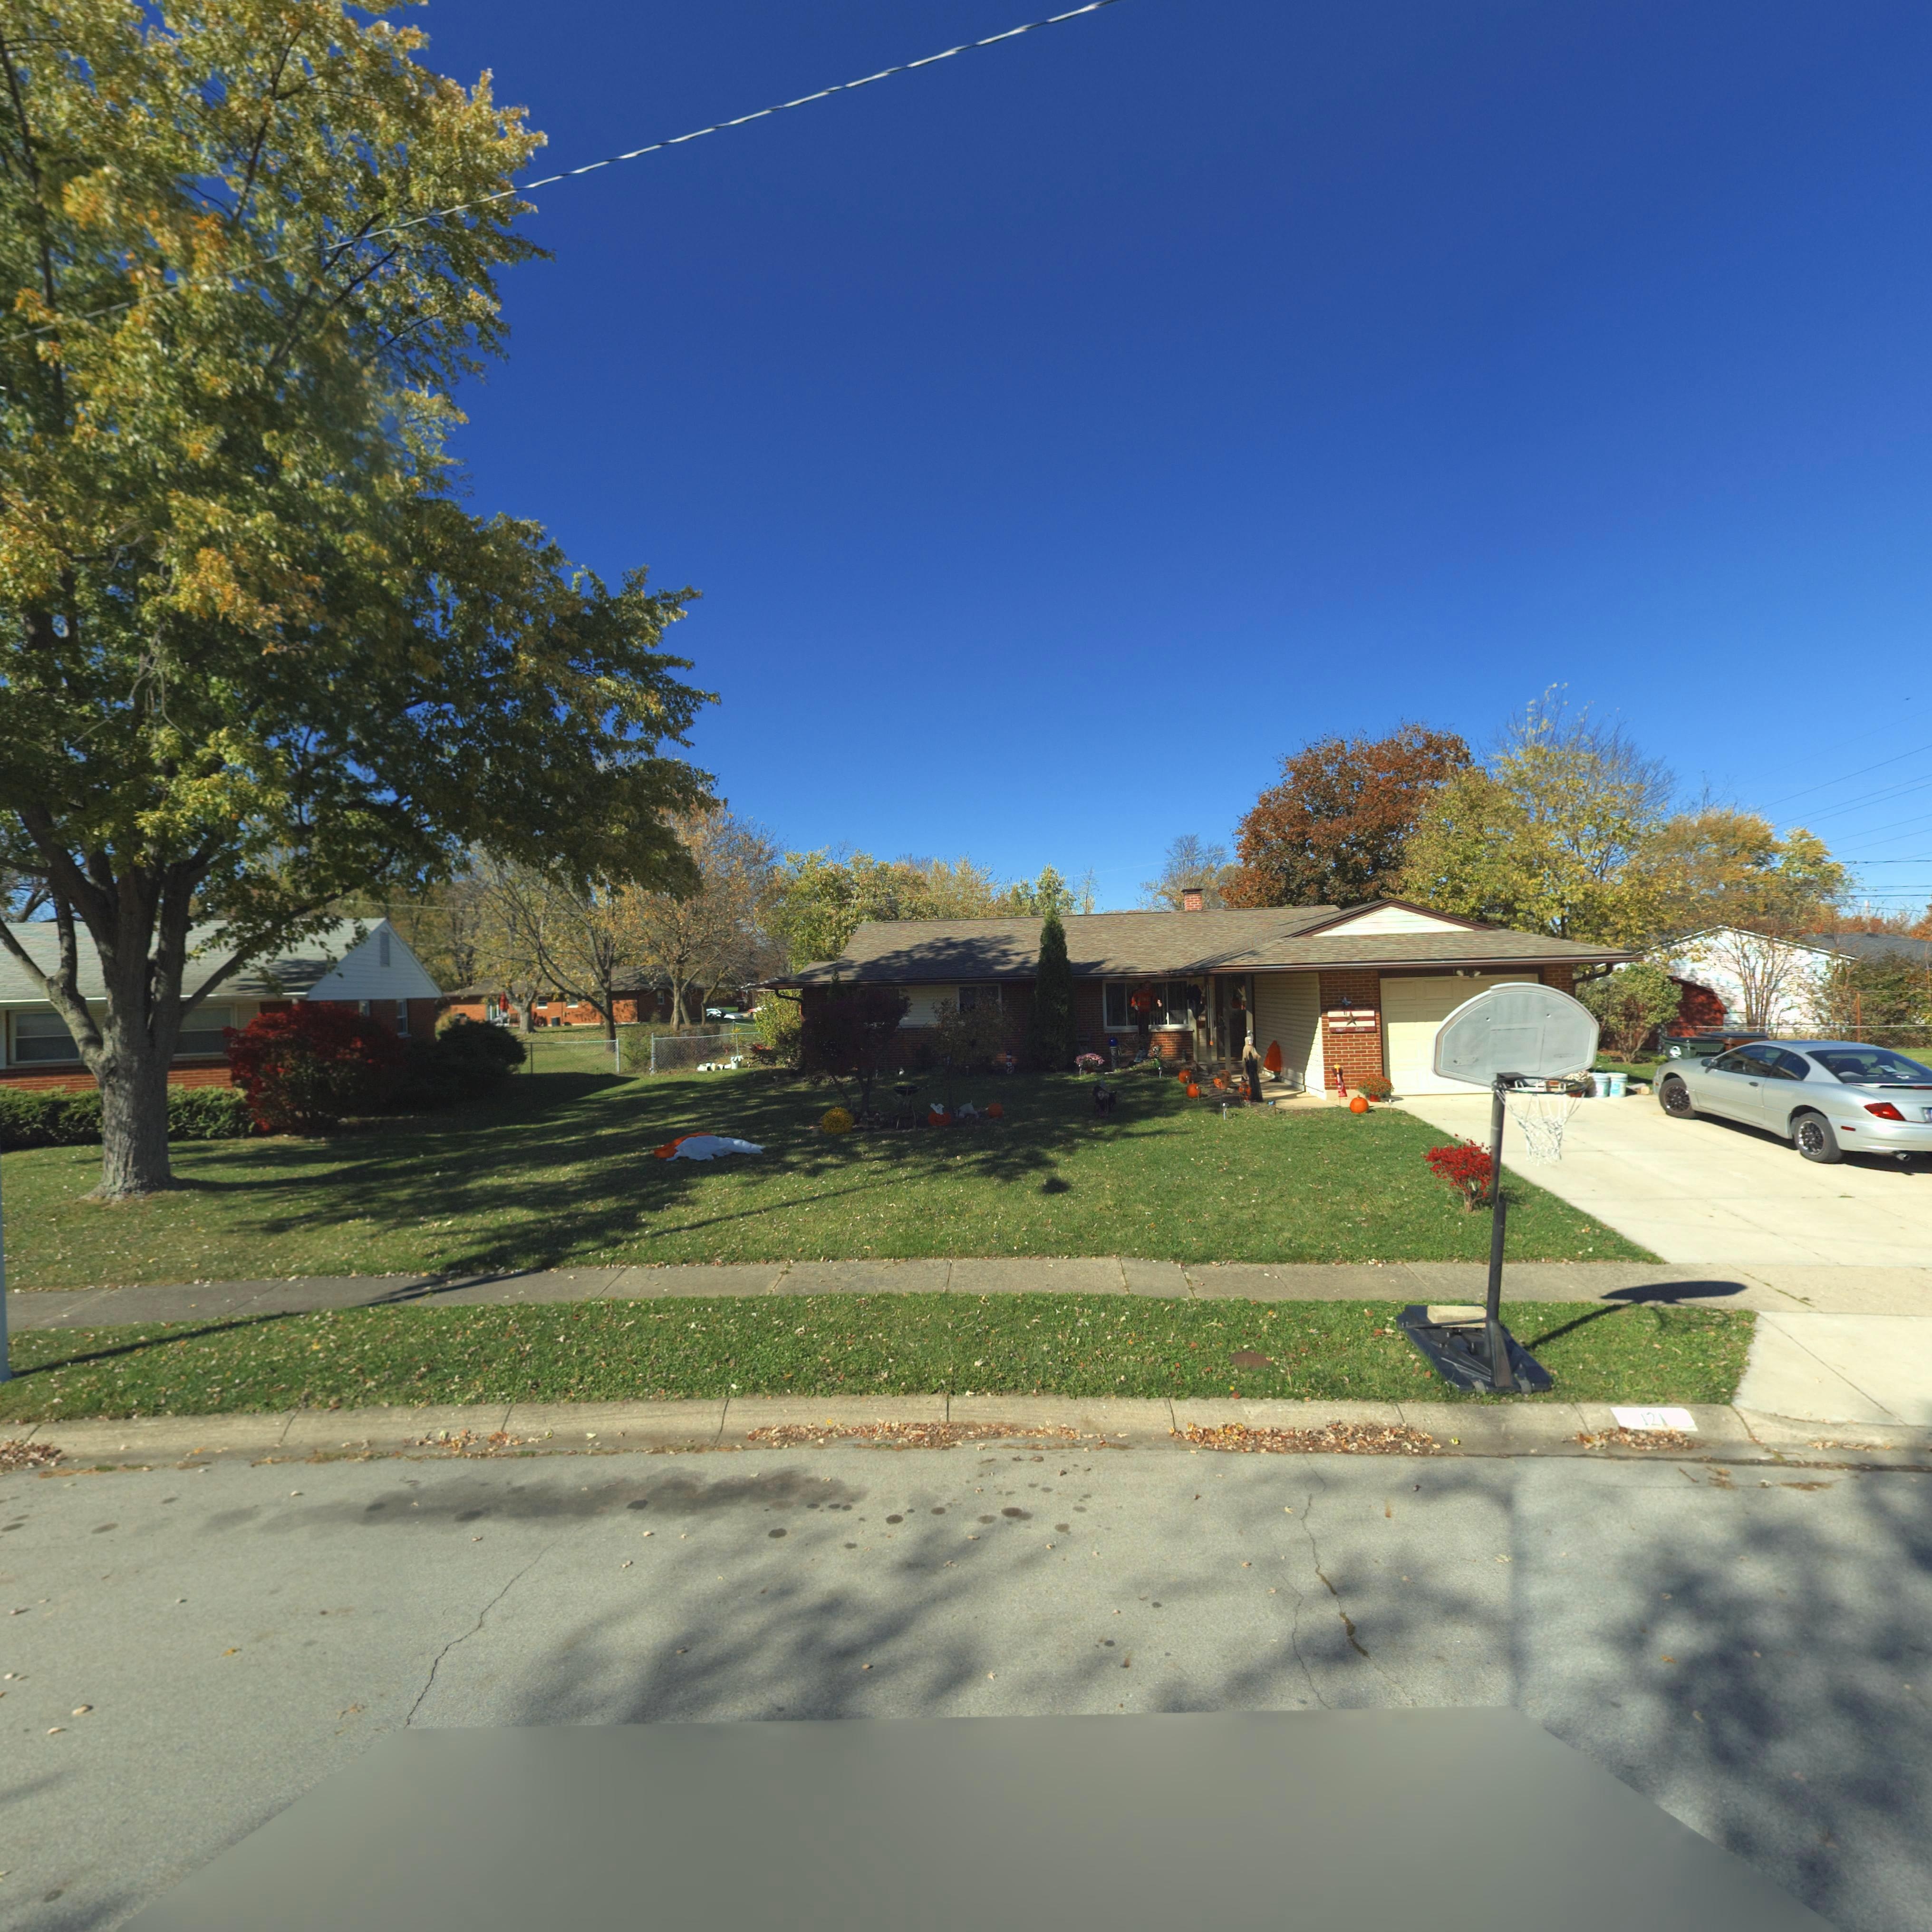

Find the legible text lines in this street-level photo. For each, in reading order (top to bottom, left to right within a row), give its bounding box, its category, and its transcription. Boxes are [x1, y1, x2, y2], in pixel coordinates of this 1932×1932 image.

[1638, 1410, 1669, 1427] StreetNumber: 121